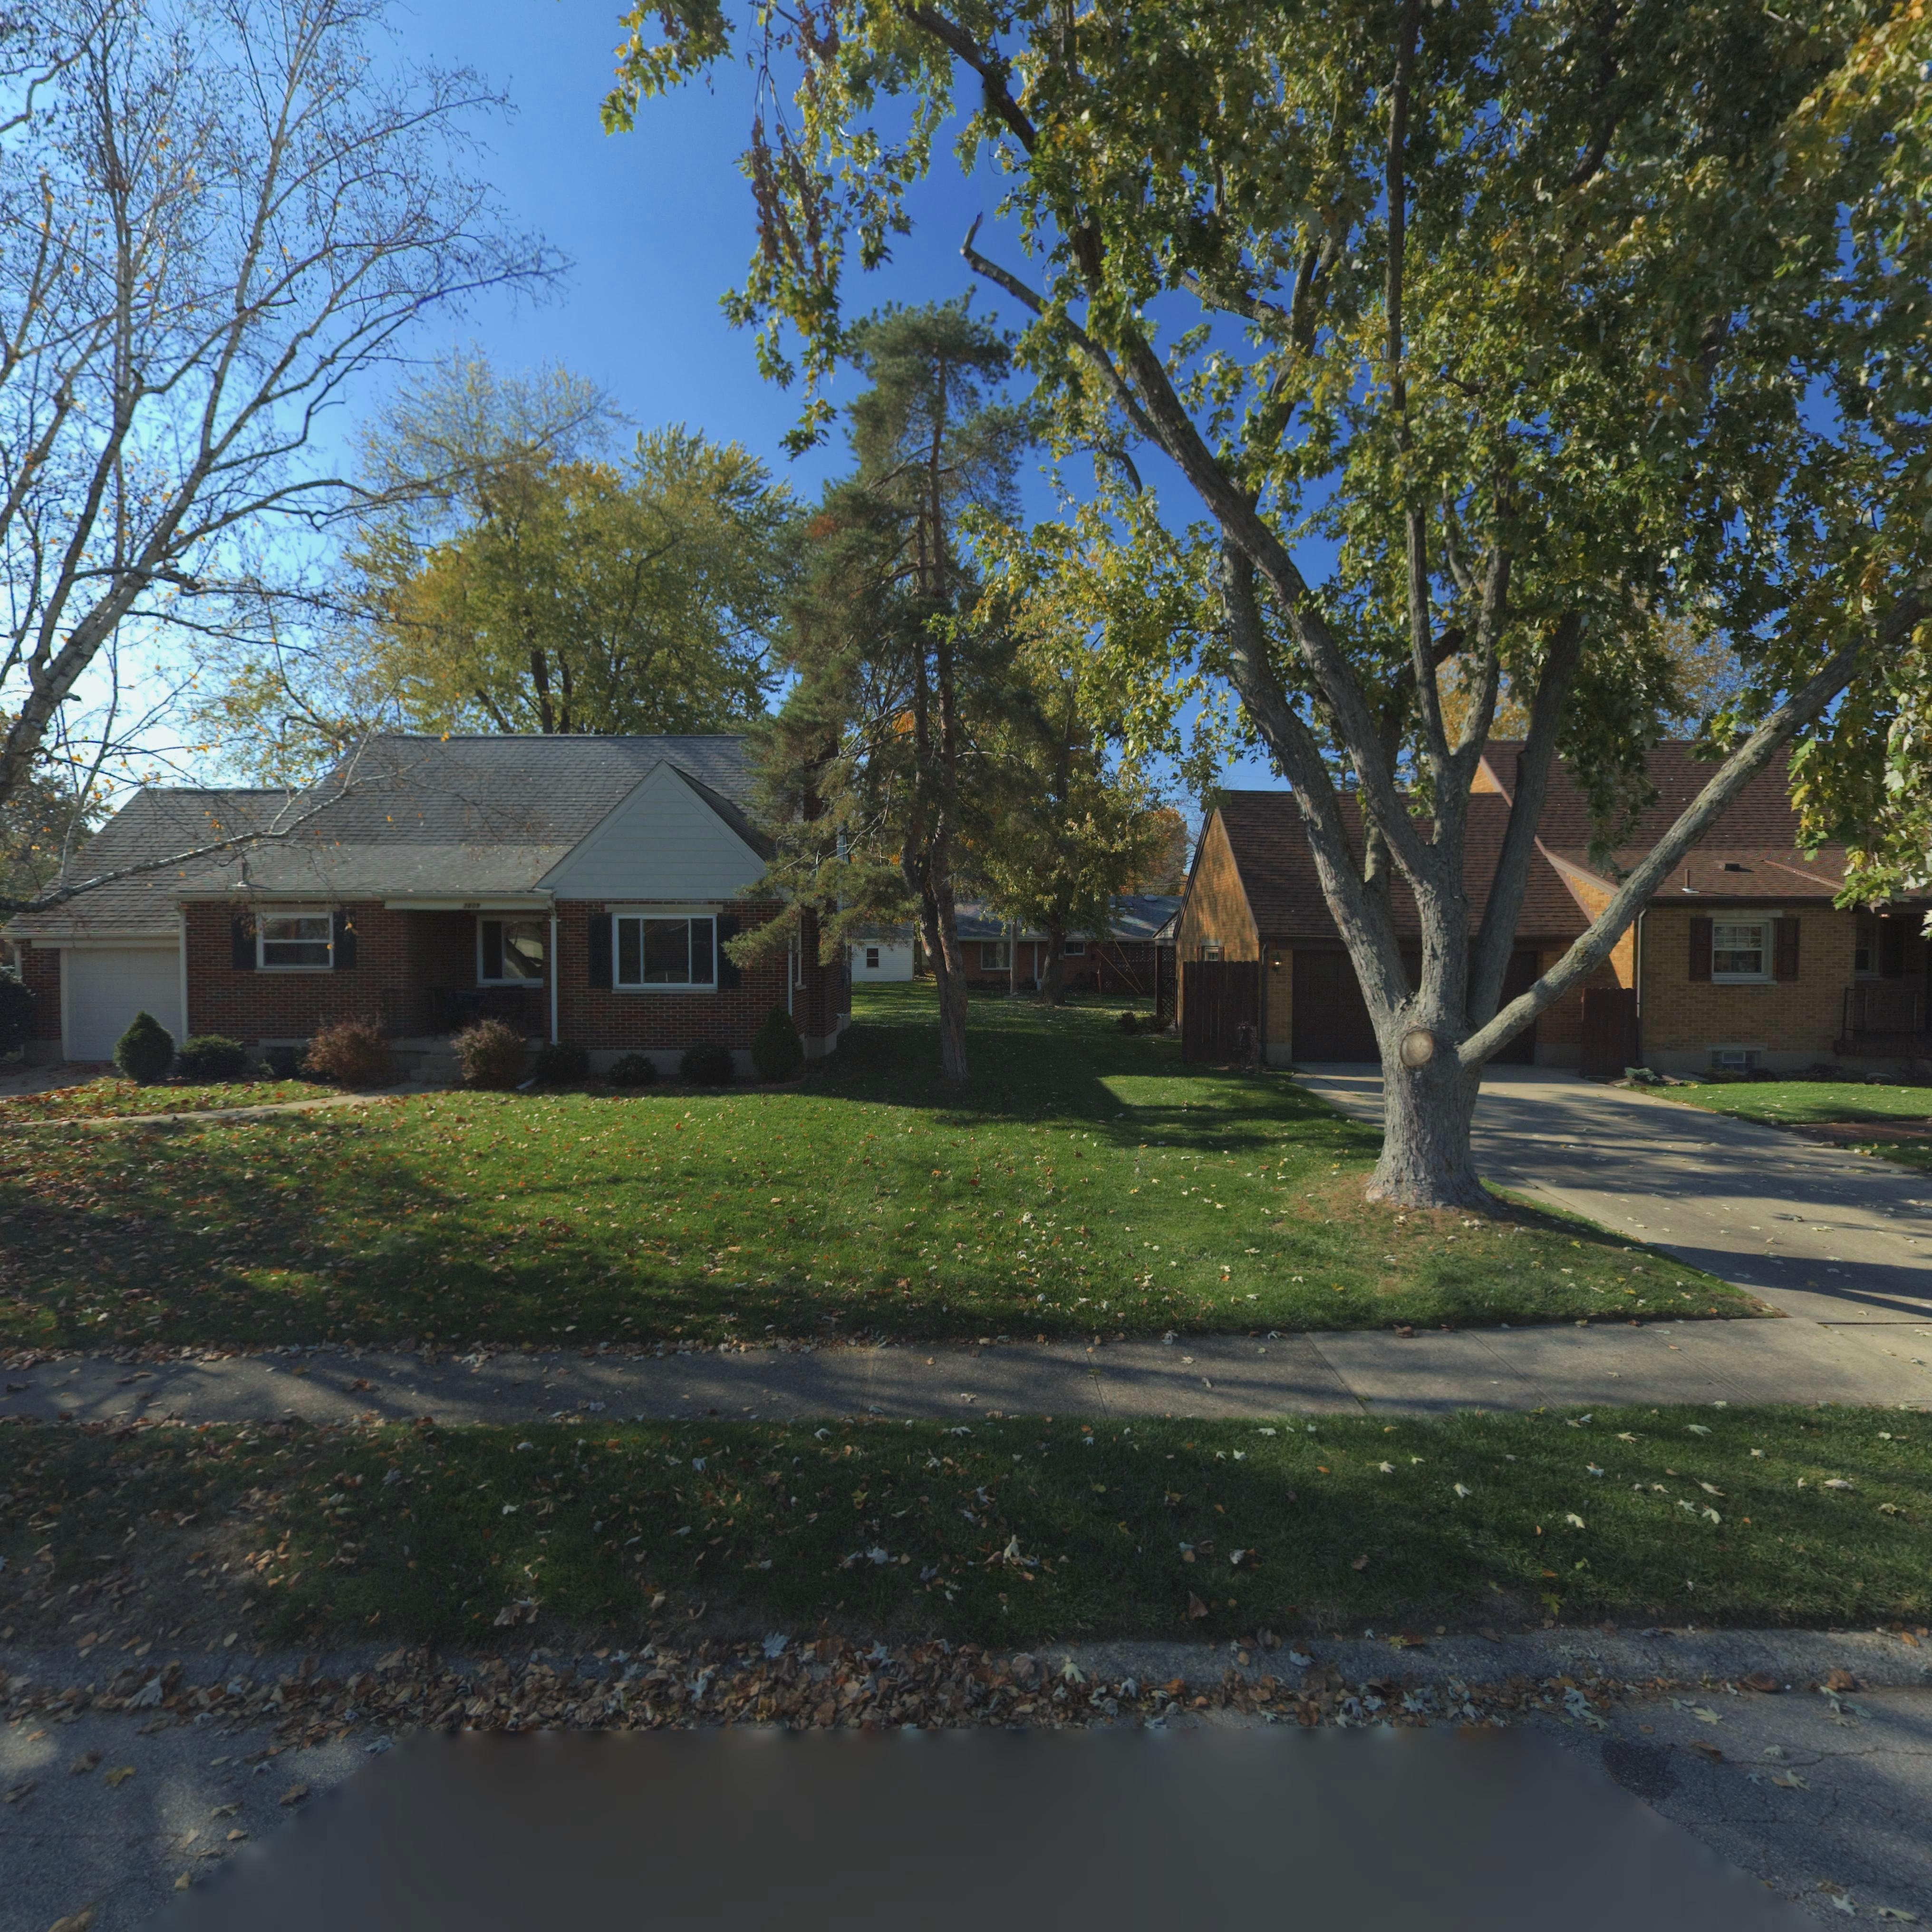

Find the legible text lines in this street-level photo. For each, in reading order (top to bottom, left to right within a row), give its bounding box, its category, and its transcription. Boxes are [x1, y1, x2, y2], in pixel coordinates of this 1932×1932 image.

[463, 903, 482, 909] StreetNumber: *809